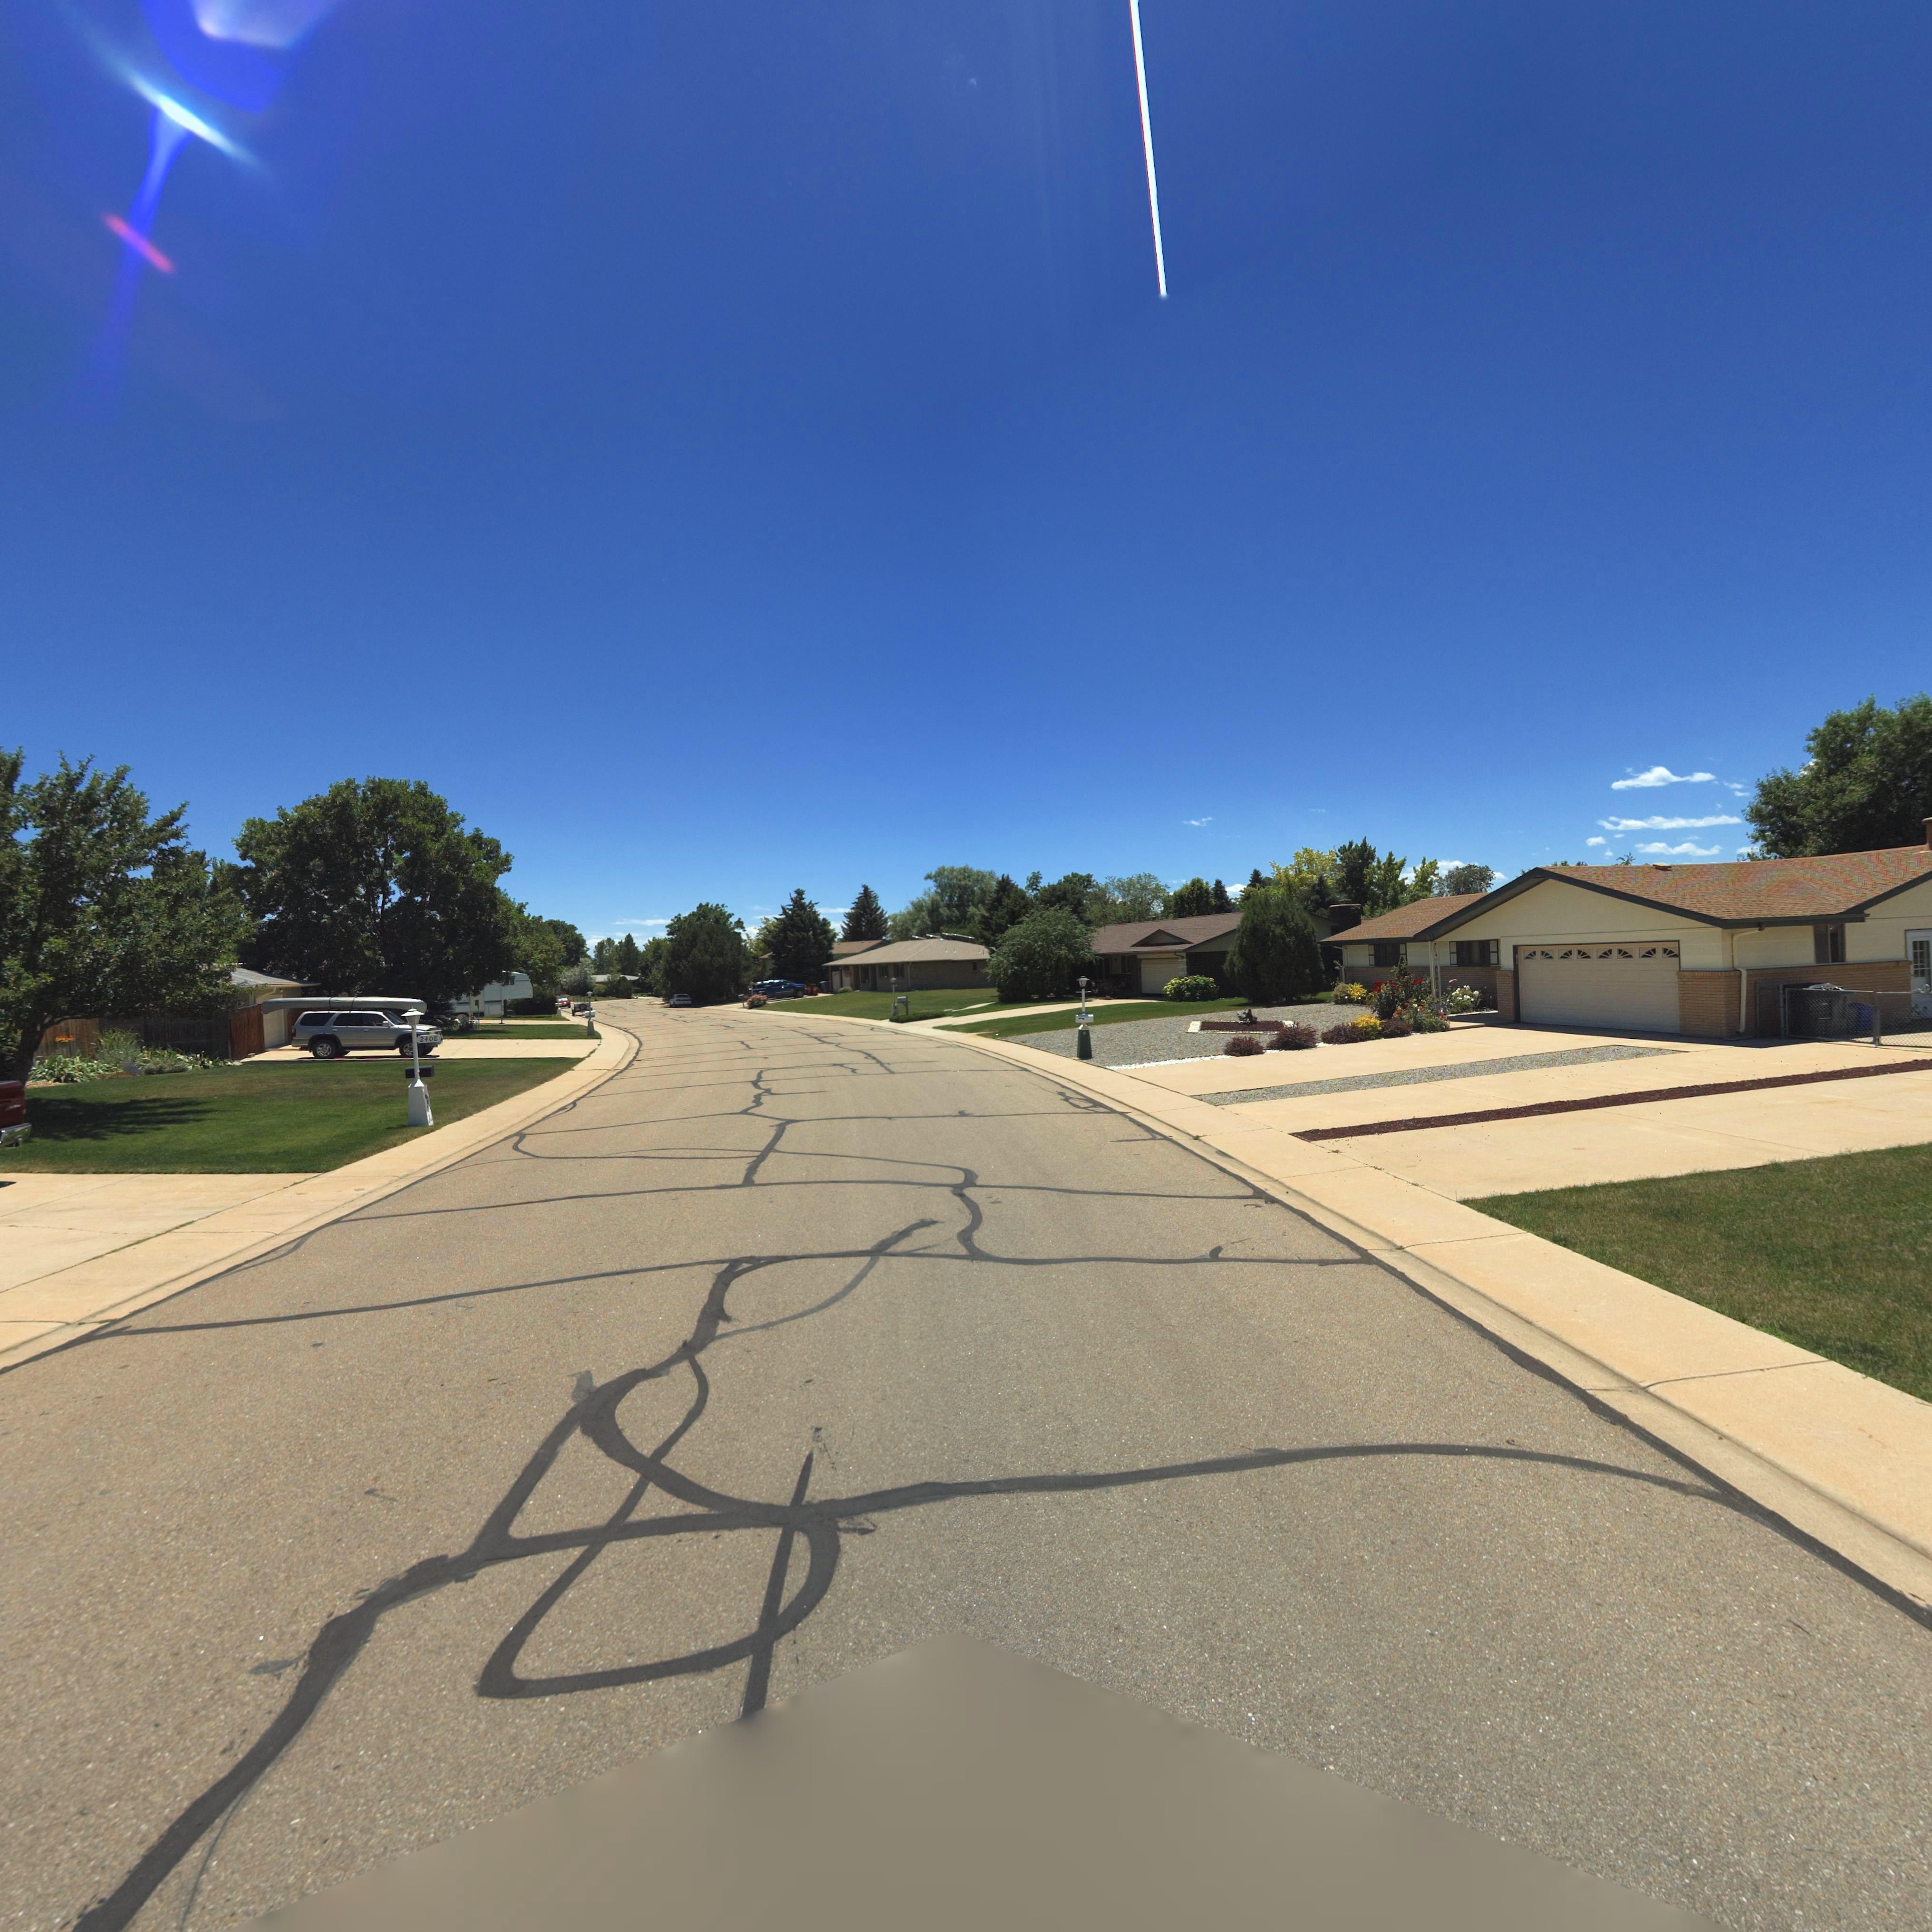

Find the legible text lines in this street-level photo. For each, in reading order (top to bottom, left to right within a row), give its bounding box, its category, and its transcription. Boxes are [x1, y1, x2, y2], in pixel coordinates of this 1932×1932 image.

[419, 1035, 438, 1042] StreetNumber: 2408